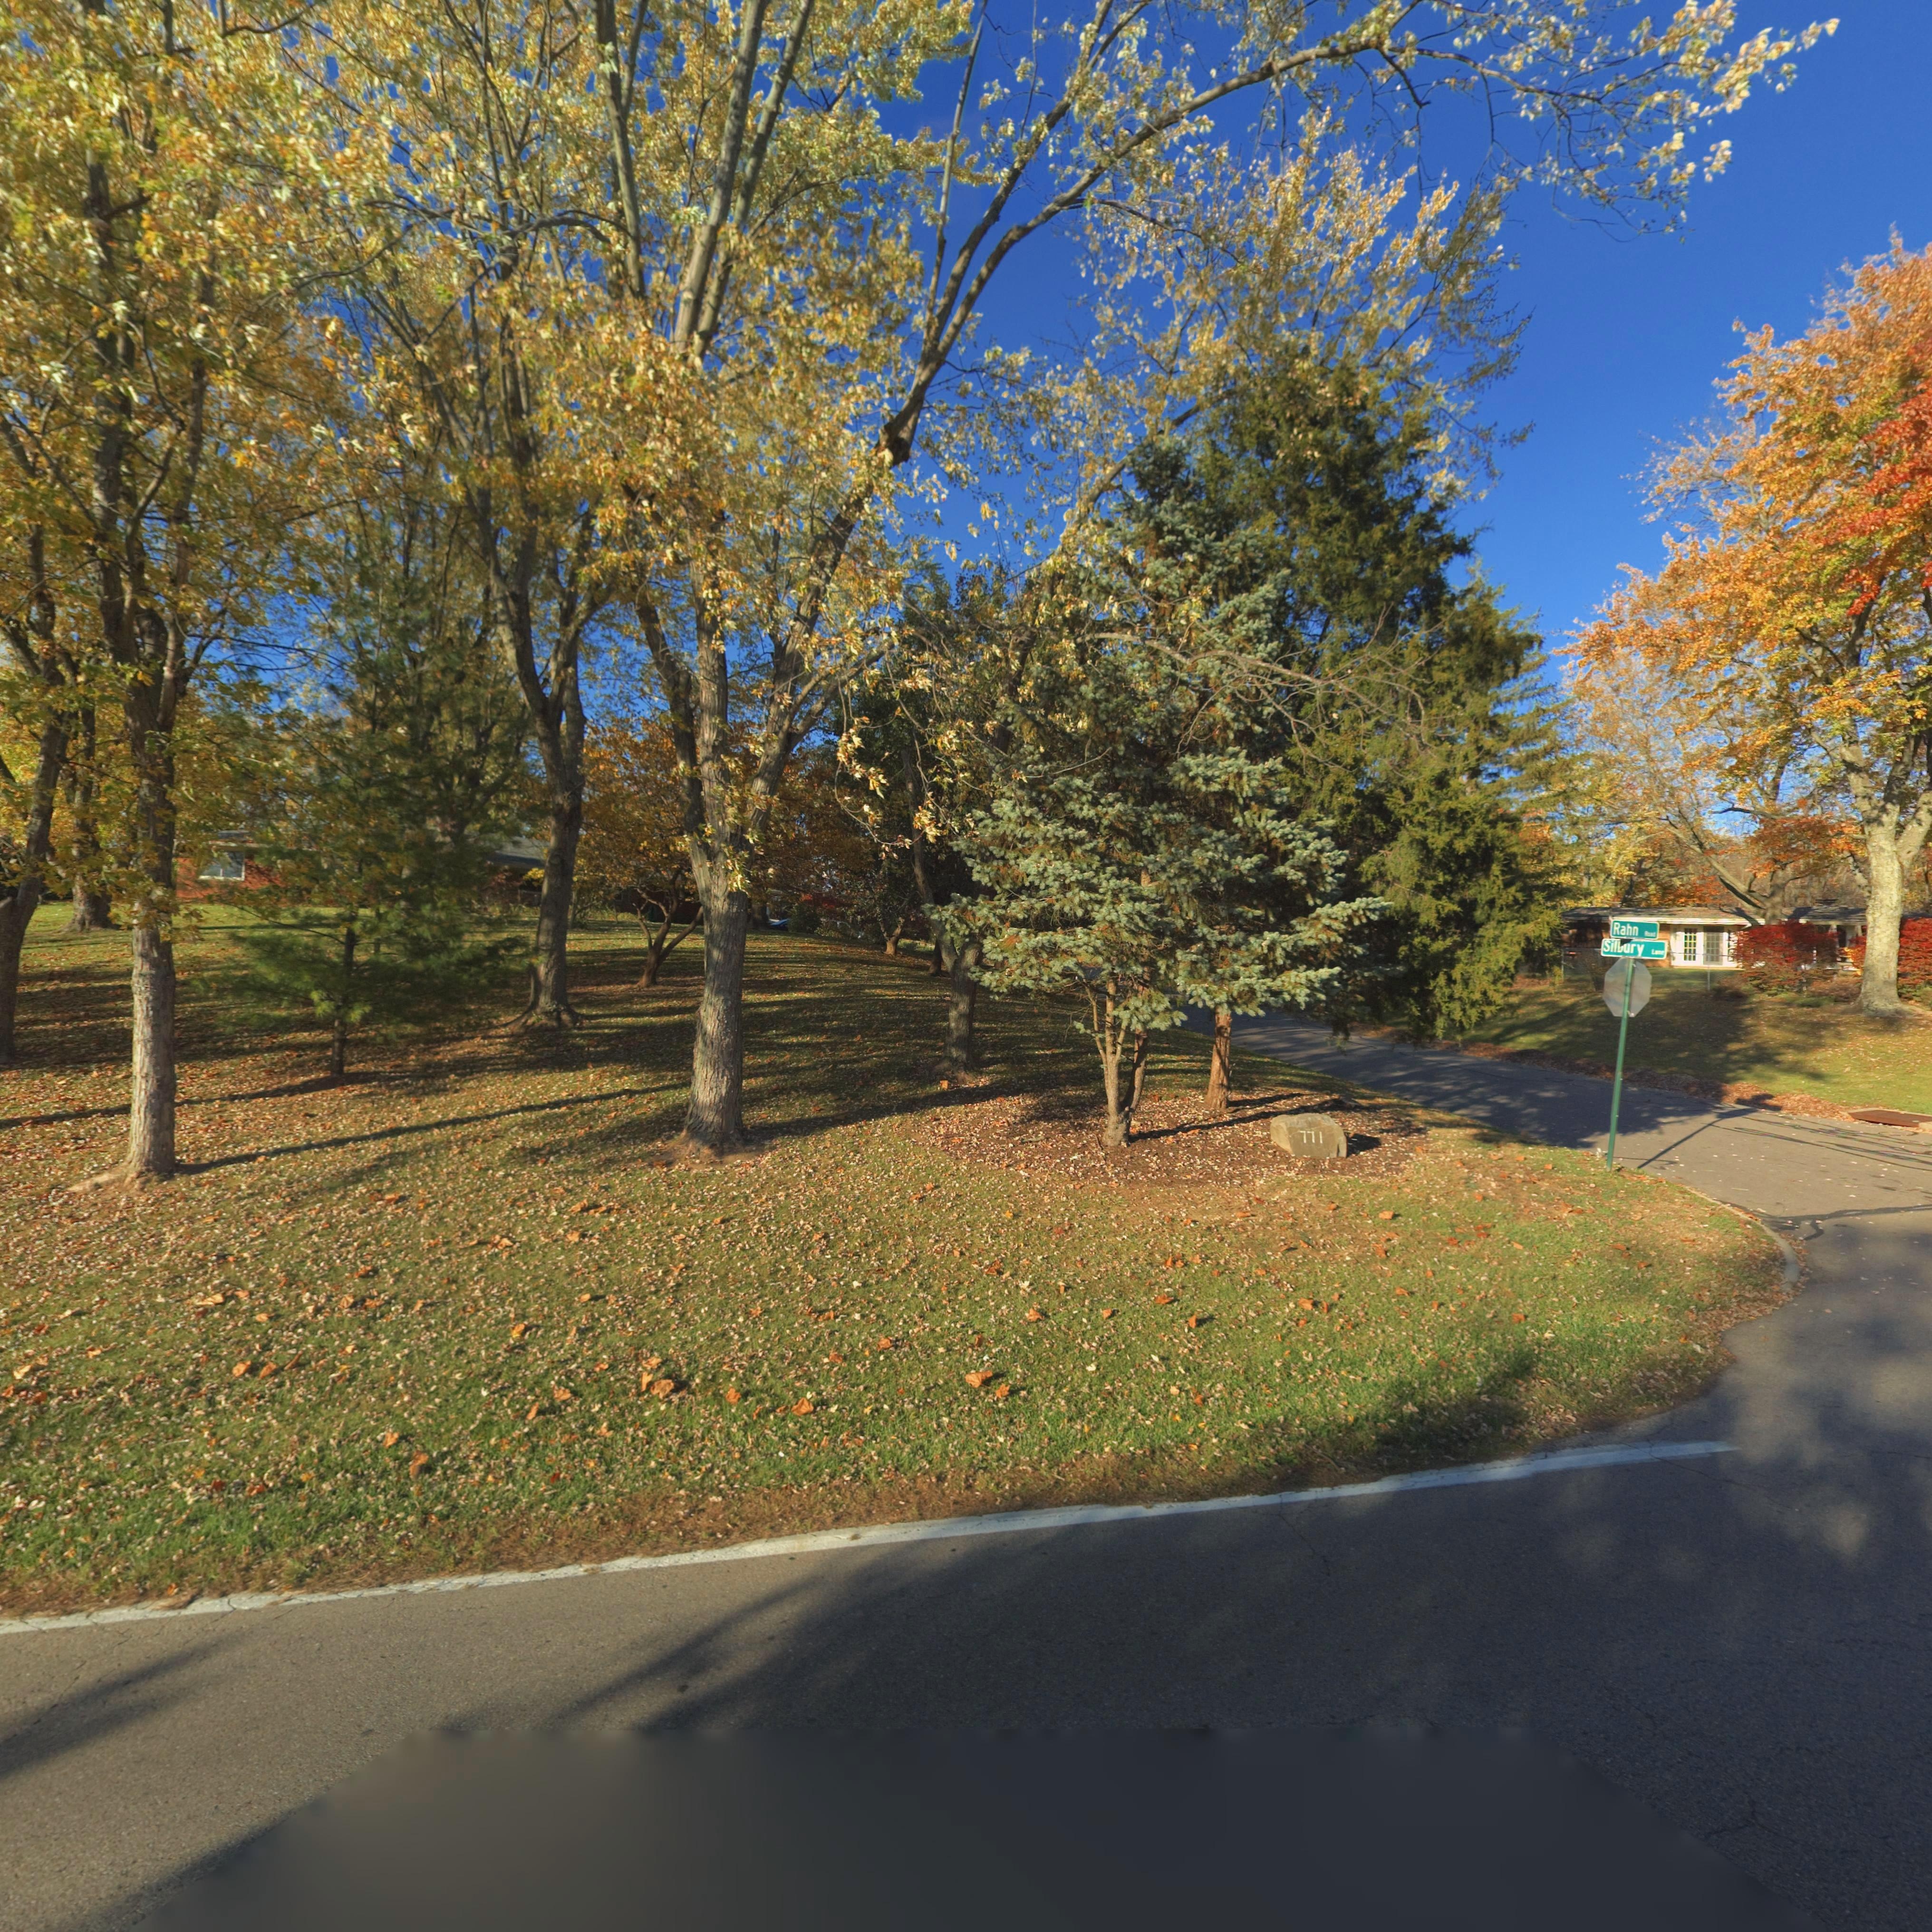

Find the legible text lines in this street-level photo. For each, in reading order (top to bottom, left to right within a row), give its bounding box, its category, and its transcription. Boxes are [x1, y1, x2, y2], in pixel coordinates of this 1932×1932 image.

[1297, 1130, 1324, 1145] StreetNumber: 771